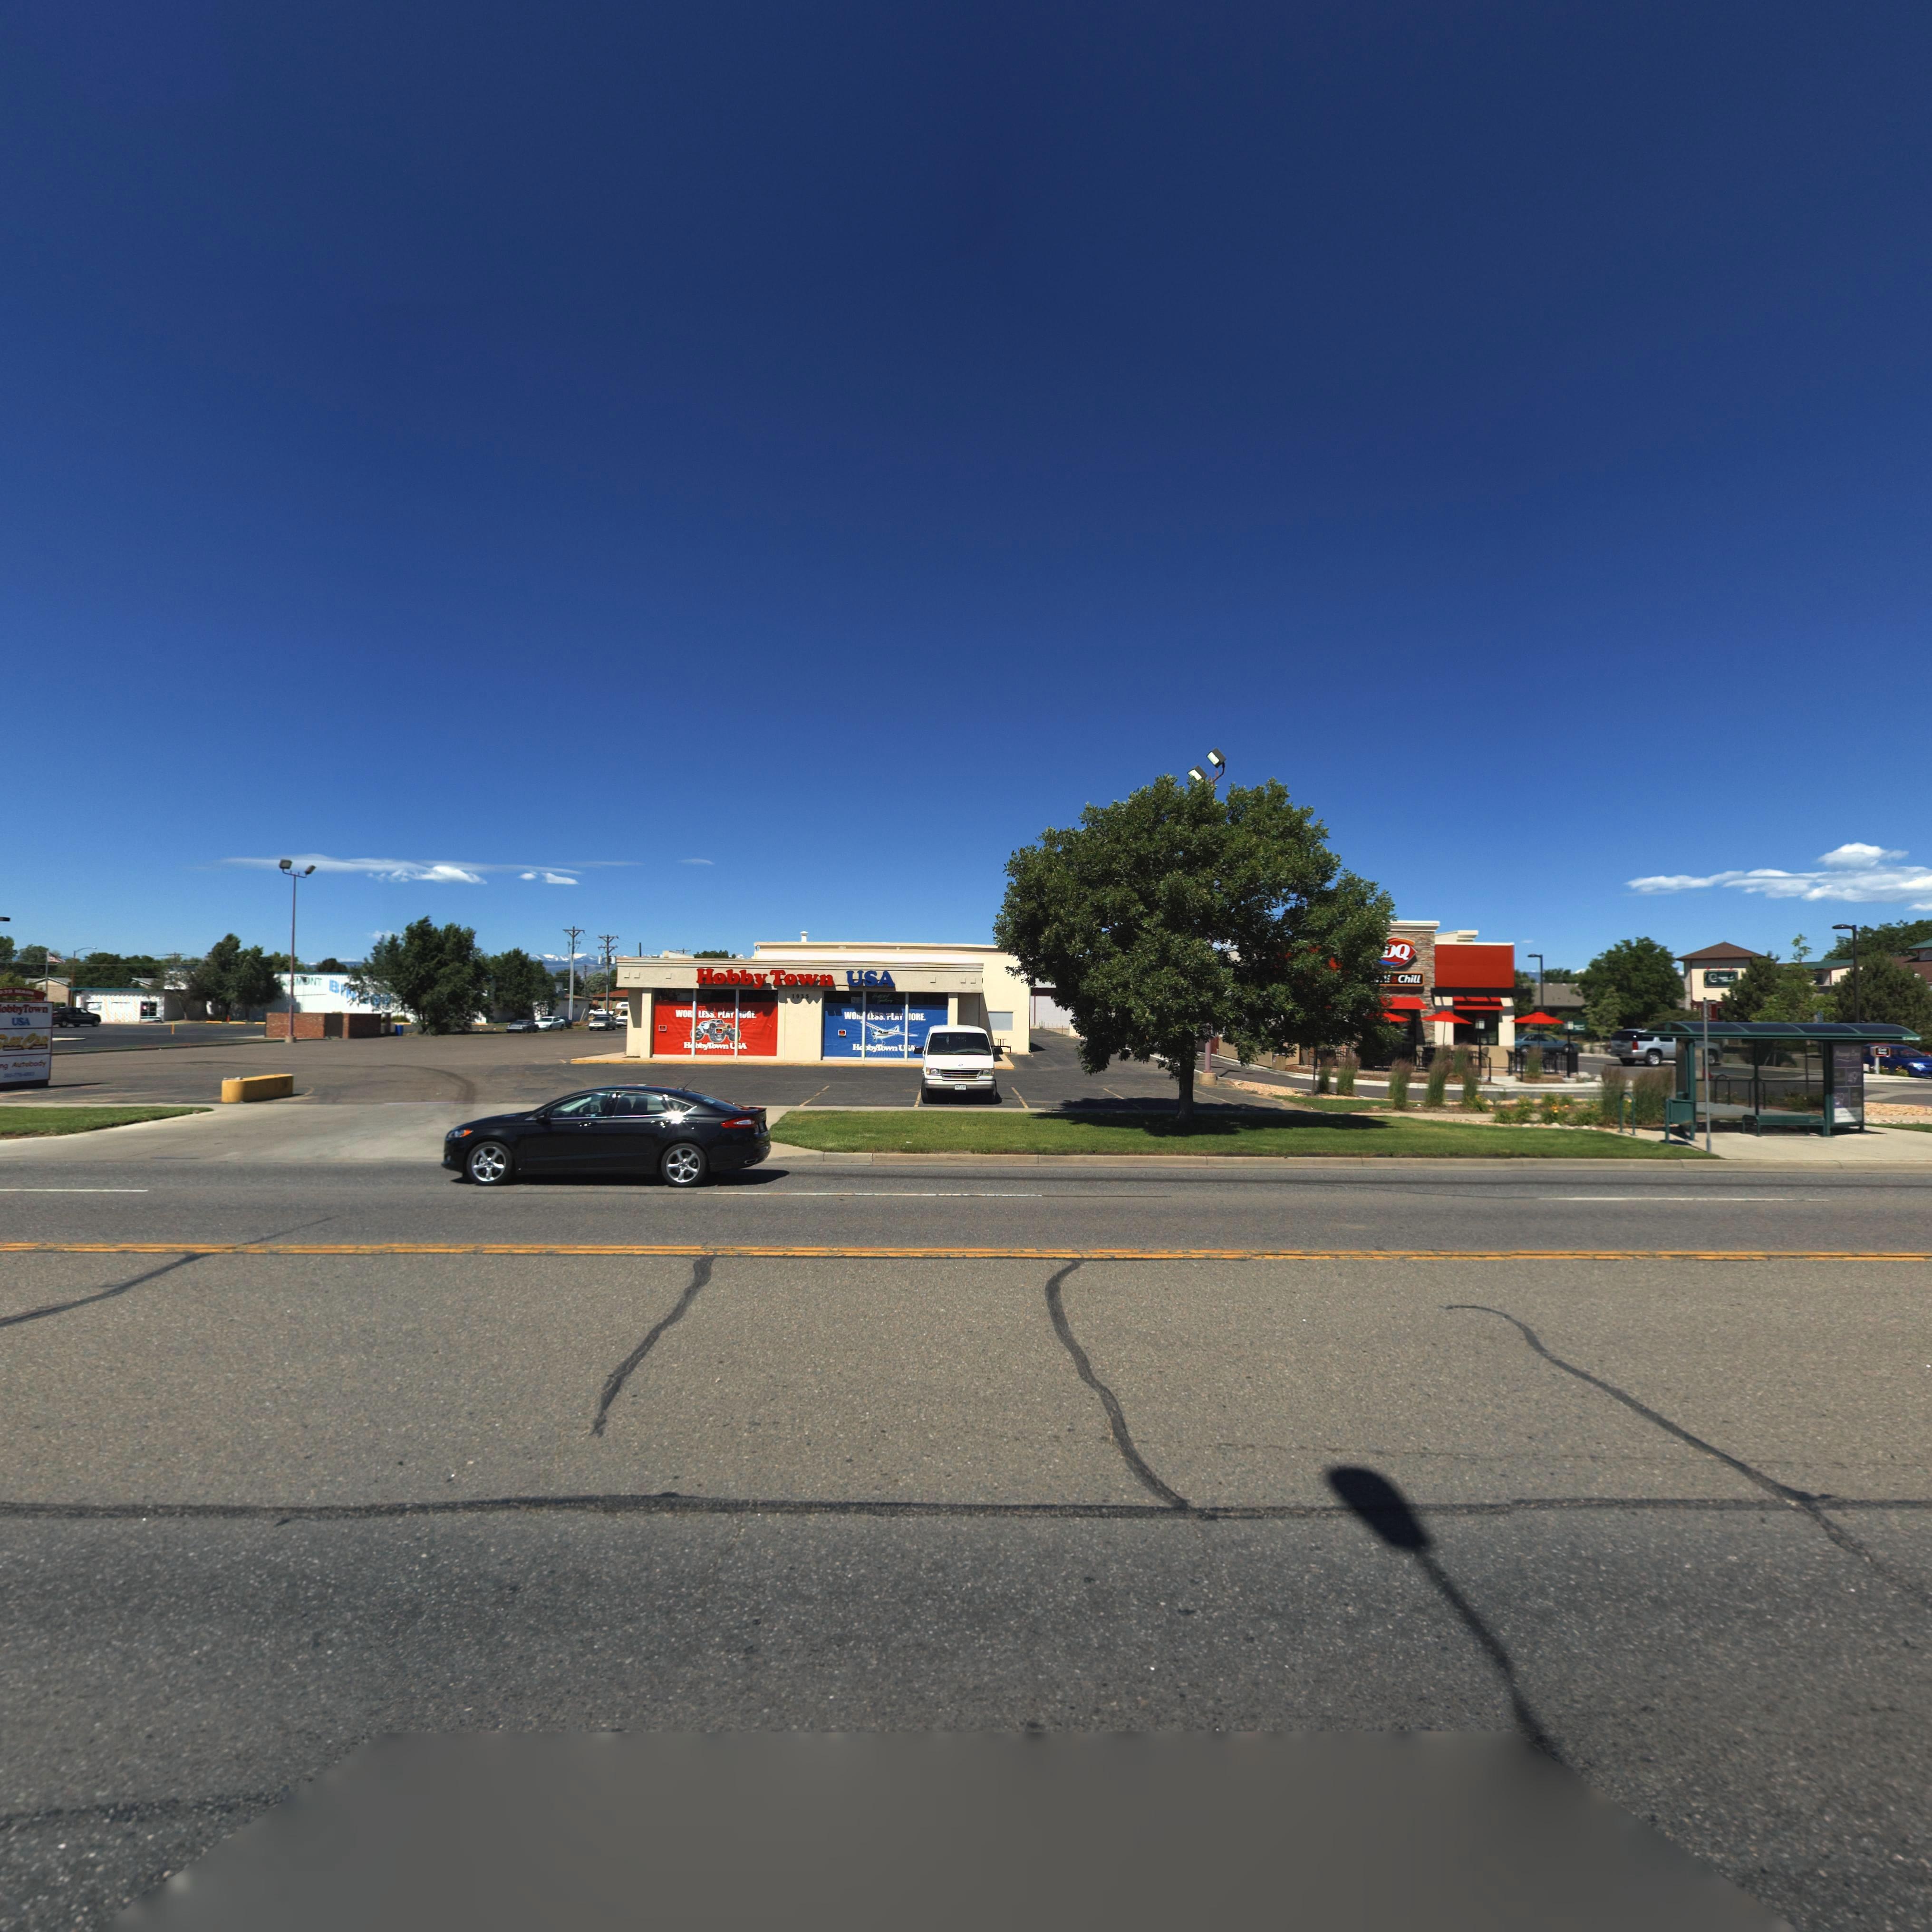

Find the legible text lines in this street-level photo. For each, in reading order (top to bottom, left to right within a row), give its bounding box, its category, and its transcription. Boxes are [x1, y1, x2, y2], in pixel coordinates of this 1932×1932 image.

[1380, 943, 1410, 961] BusinessName: DQ
[696, 968, 895, 989] BusinessName: HobbyTown USA
[1707, 972, 1718, 983] BusinessName: e
[3, 989, 12, 995] StreetNumber: 35
[280, 976, 358, 1003] BusinessName: N*MONT BIN
[792, 993, 809, 999] StreetNumber: 1935
[1, 1004, 48, 1015] BusinessName: obbyTown
[11, 1017, 30, 1026] BusinessName: USA
[3, 1031, 49, 1049] BusinessName: LOTCAR
[0, 1058, 48, 1071] BusinessName: ng Autobody